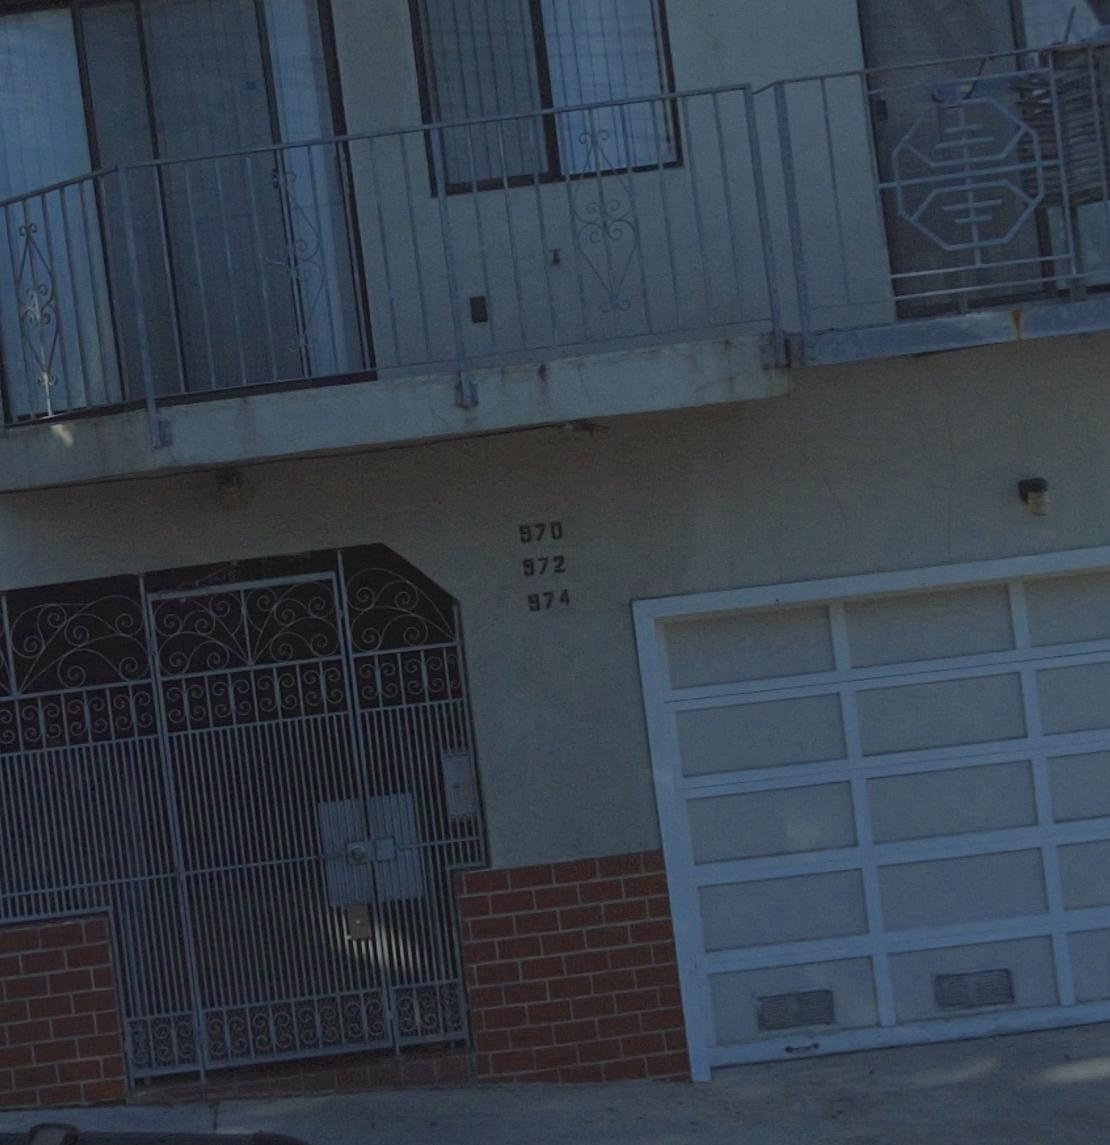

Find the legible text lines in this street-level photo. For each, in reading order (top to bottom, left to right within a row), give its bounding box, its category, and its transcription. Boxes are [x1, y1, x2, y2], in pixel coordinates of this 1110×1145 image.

[518, 520, 565, 546] StreetNumber: 970
[521, 554, 568, 578] StreetNumber: 972
[526, 587, 572, 615] StreetNumber: 974